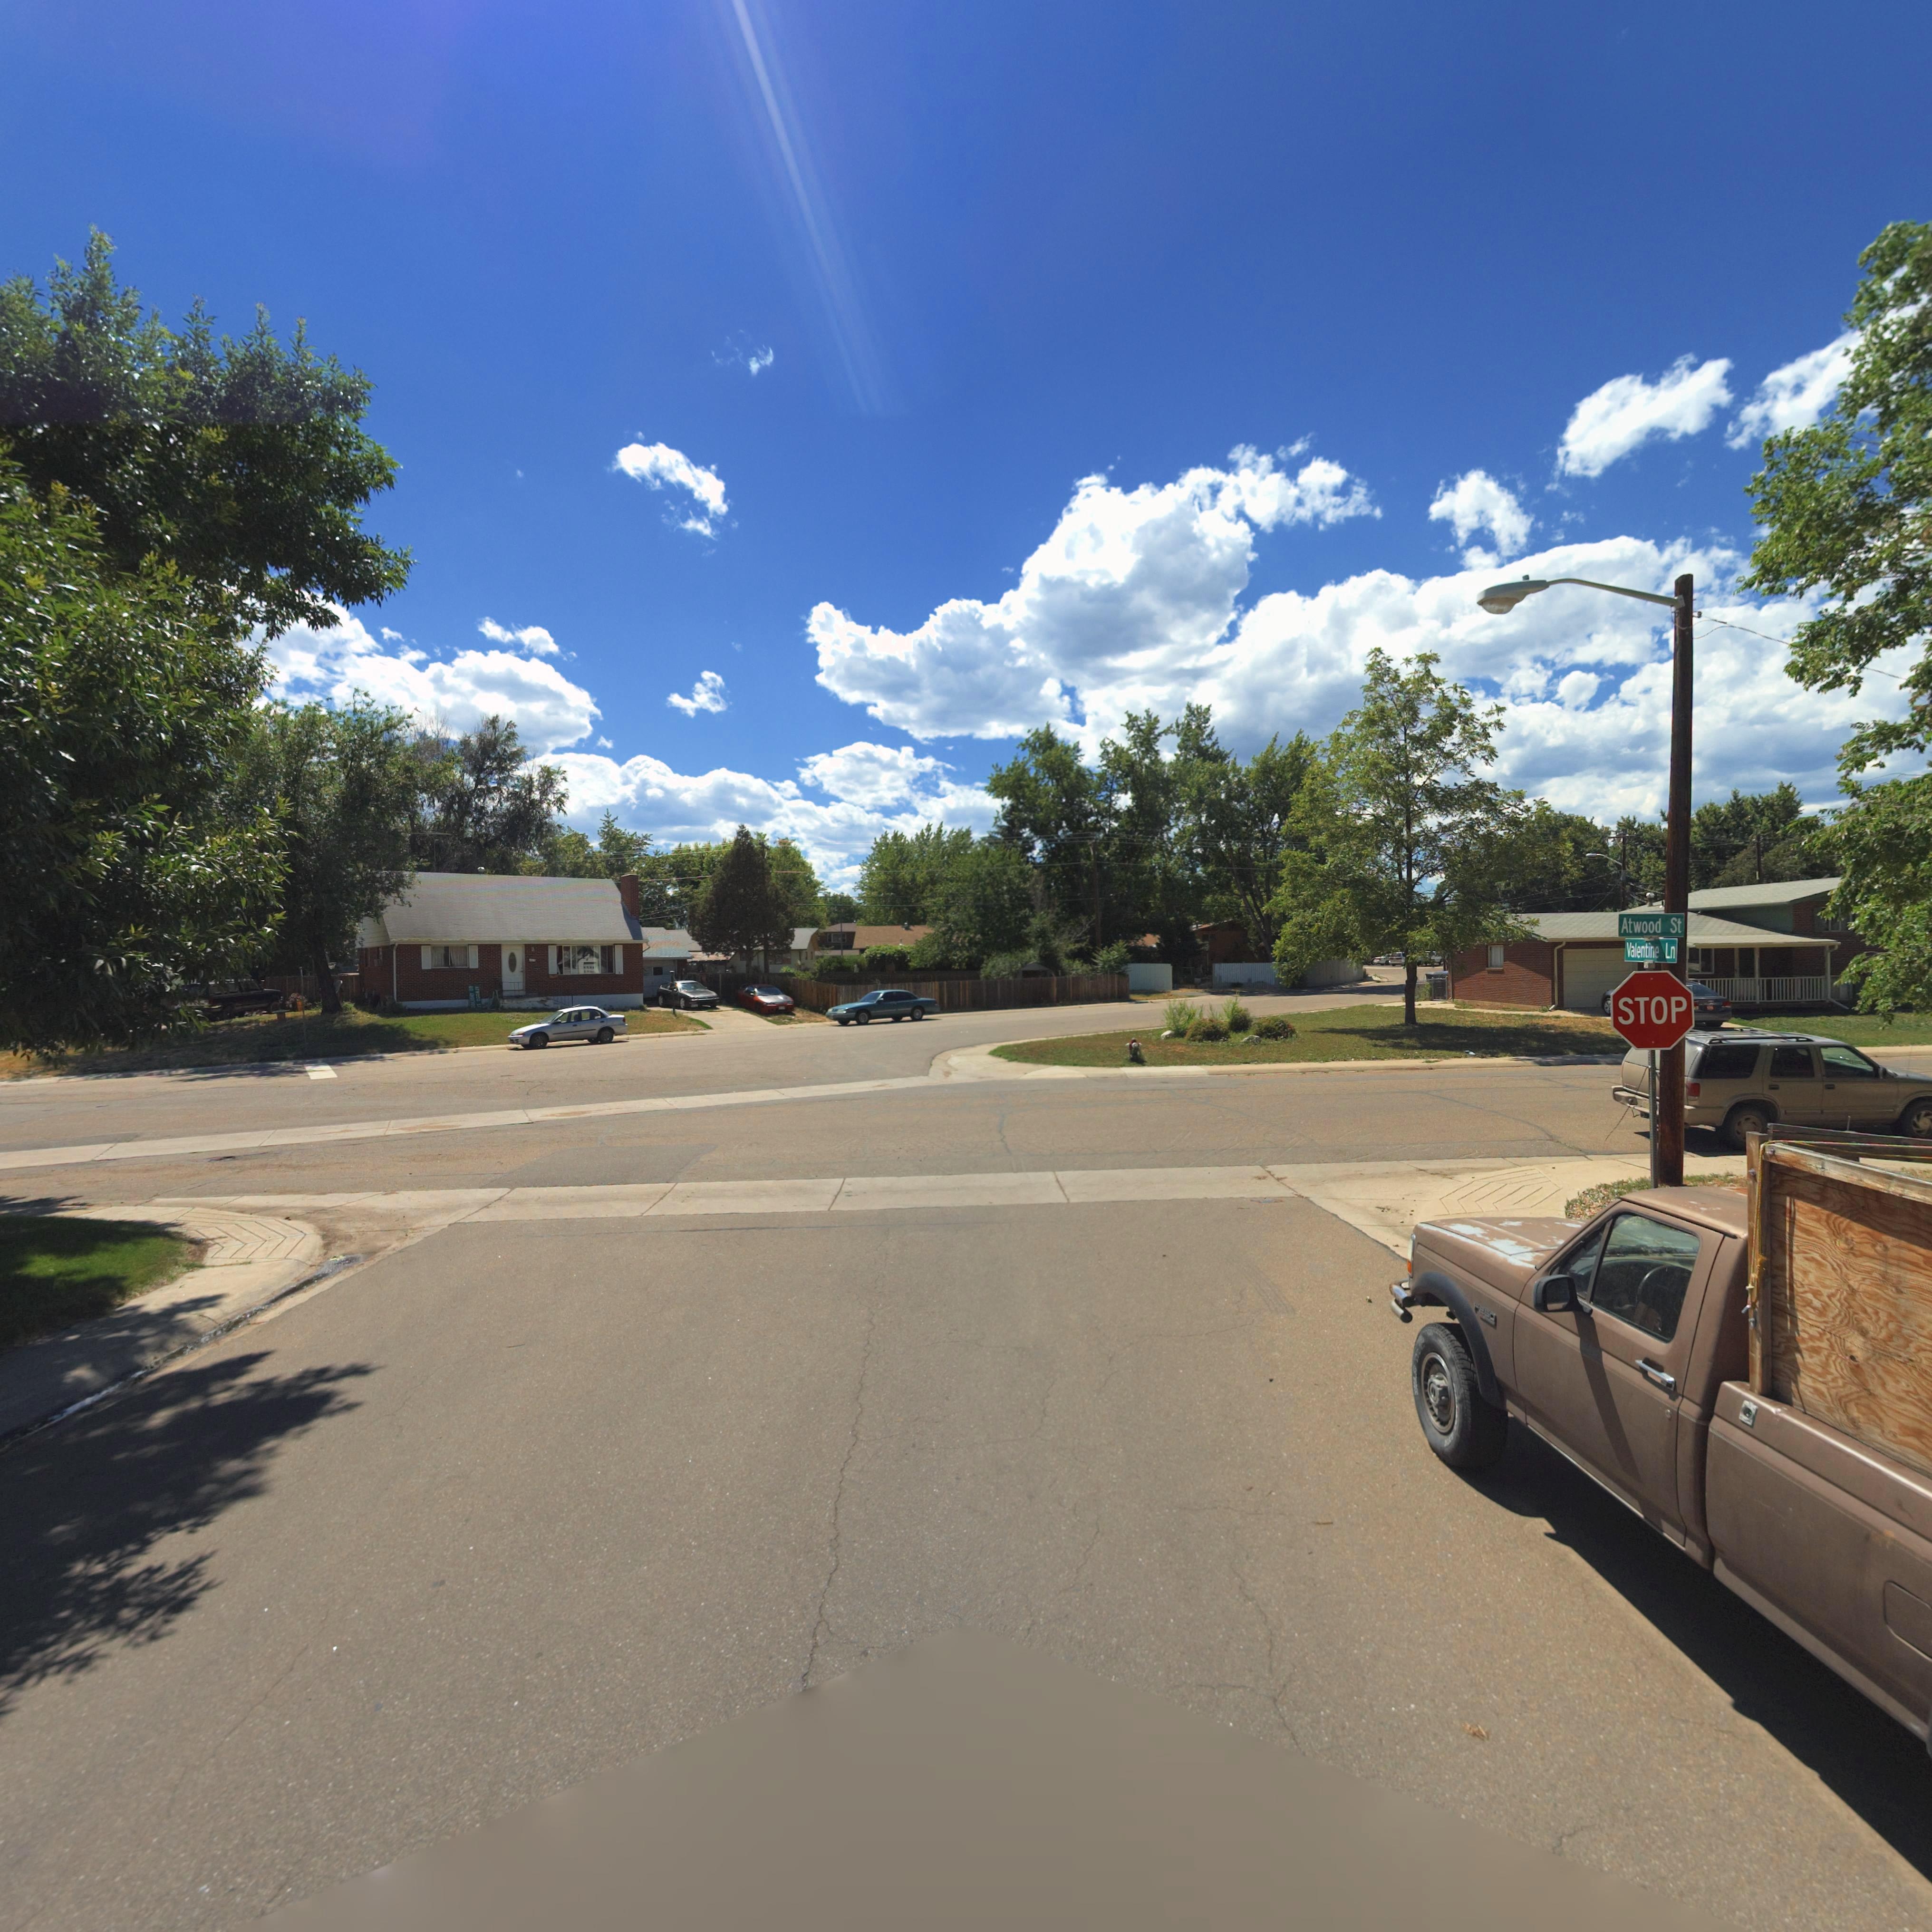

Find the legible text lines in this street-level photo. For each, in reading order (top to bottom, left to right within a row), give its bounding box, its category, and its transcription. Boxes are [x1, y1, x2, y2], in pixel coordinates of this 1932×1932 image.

[1620, 917, 1682, 934] StreetName: Atwood St
[1625, 941, 1676, 959] StreetName: Valentine Ln